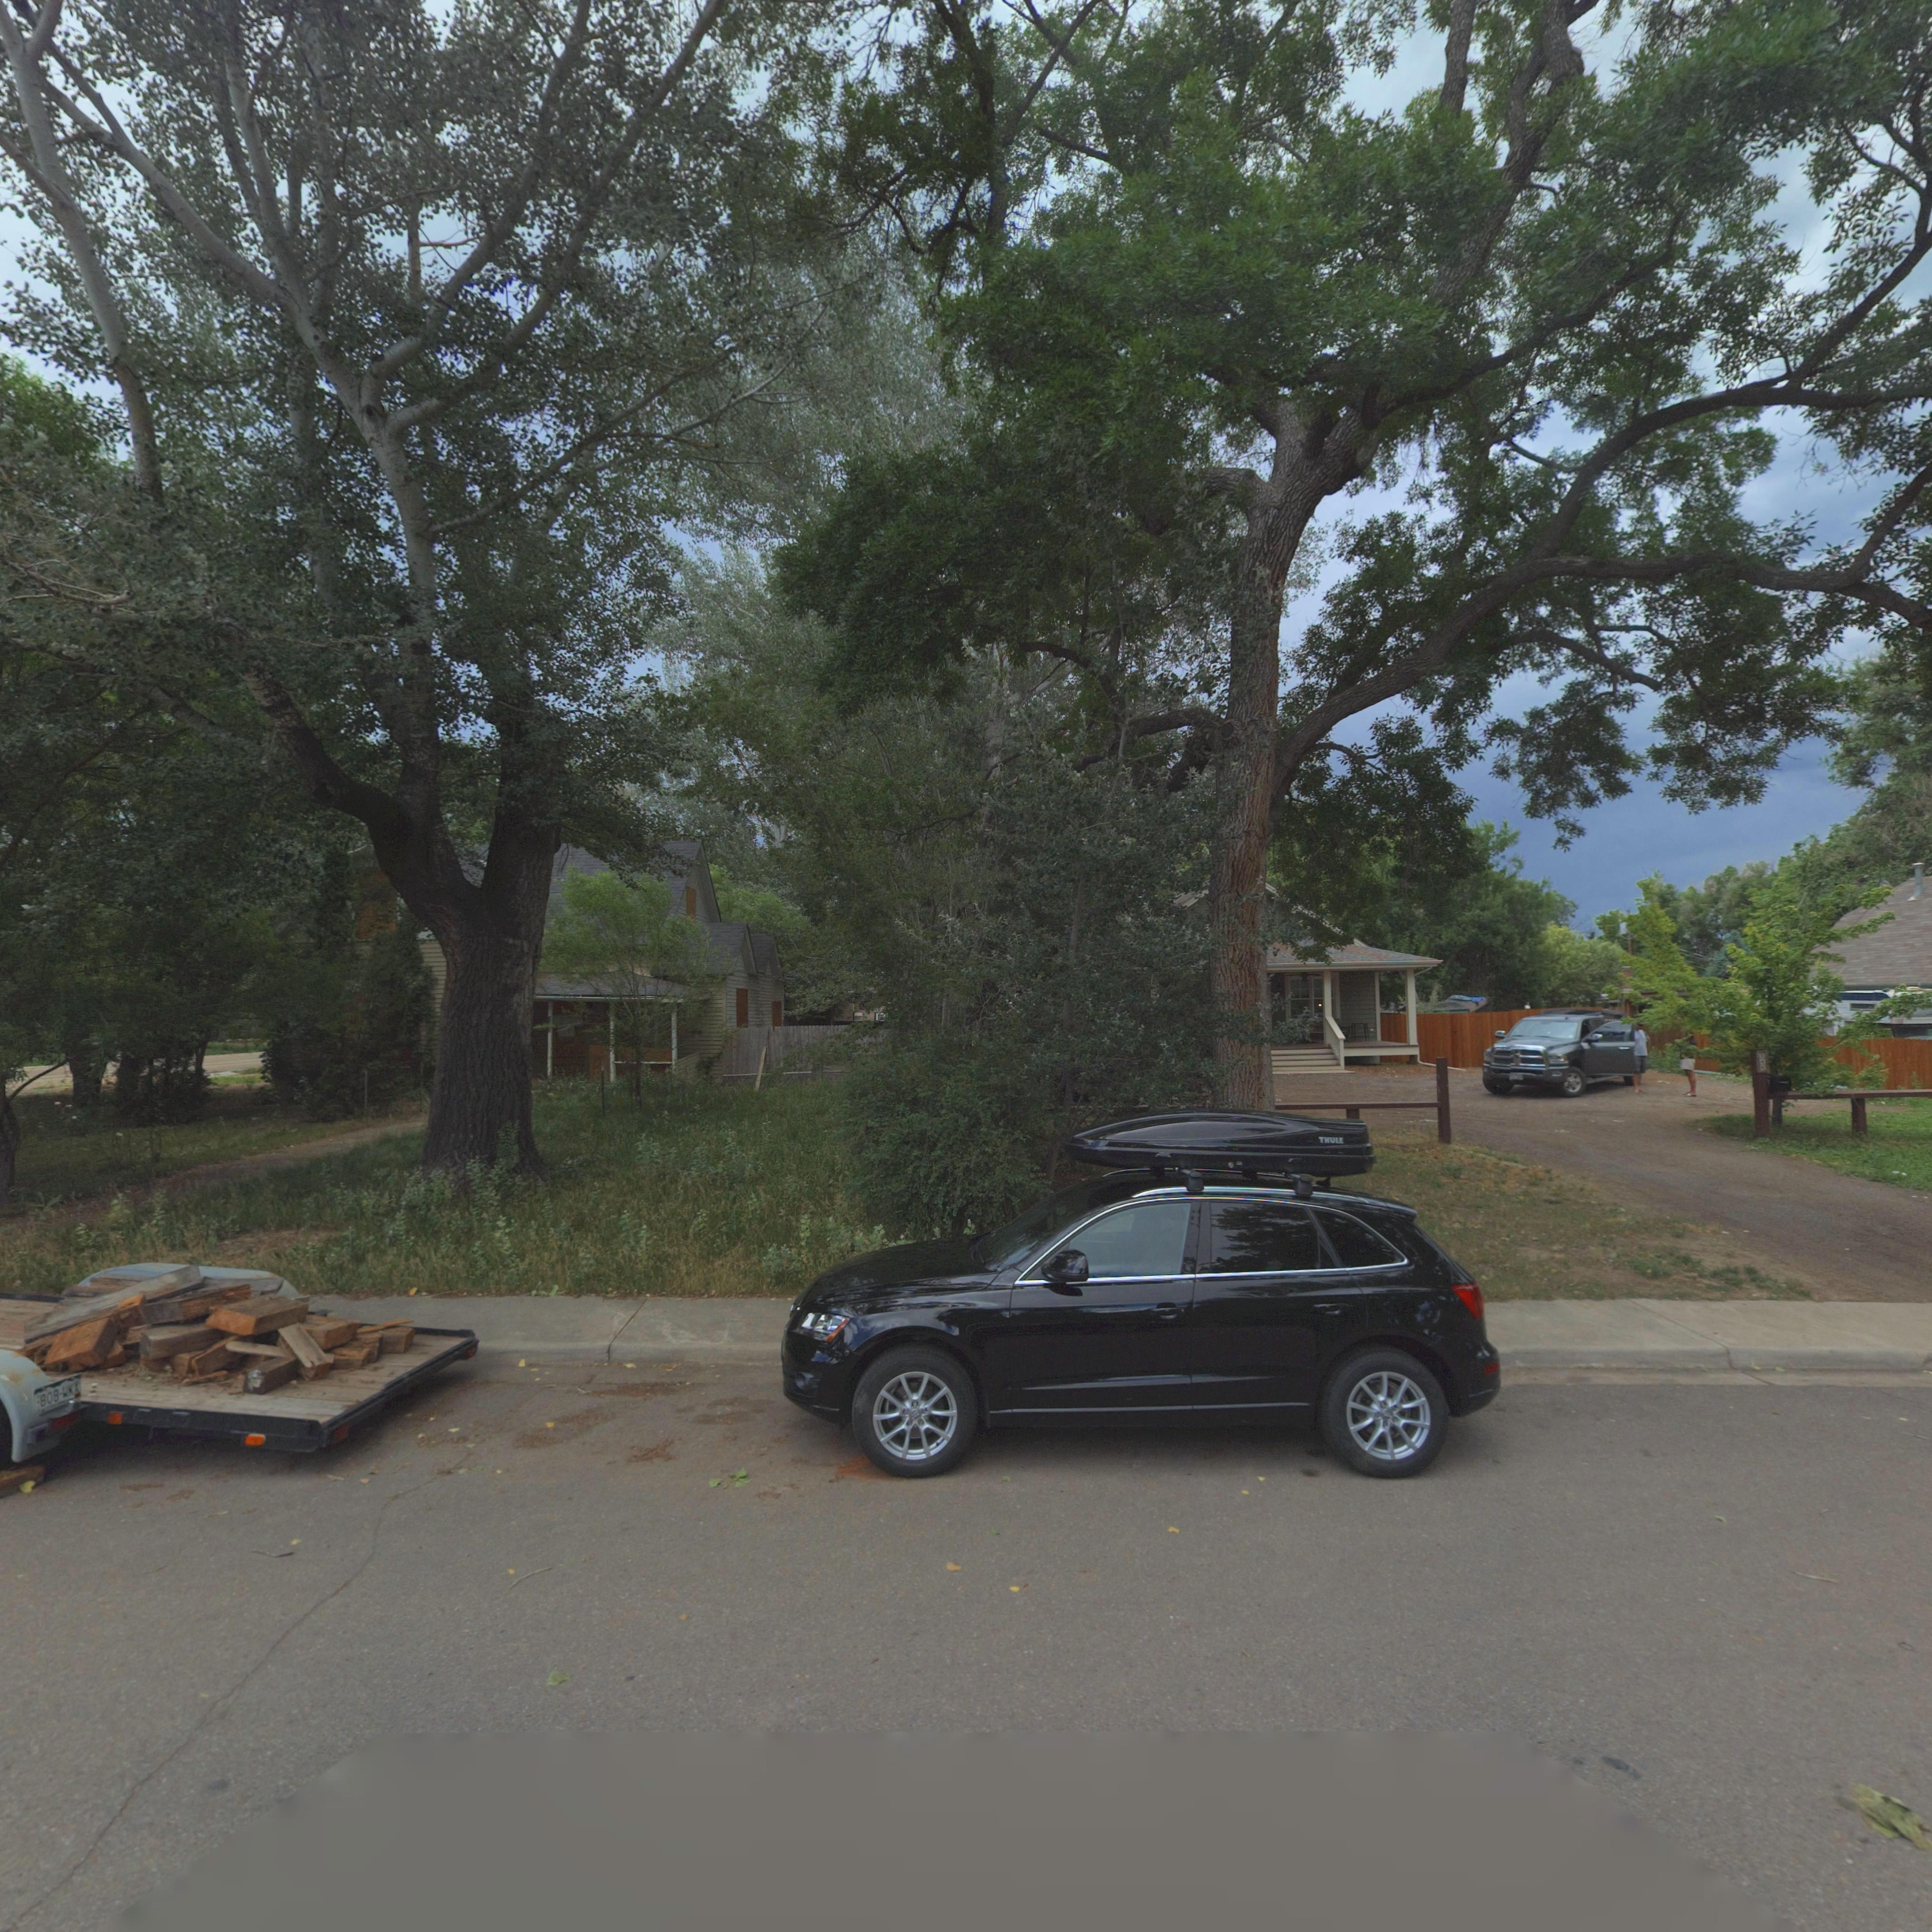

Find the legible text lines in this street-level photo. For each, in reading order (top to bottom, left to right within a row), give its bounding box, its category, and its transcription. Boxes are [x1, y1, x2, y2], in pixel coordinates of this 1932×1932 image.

[1758, 1052, 1767, 1071] StreetNumber: 950